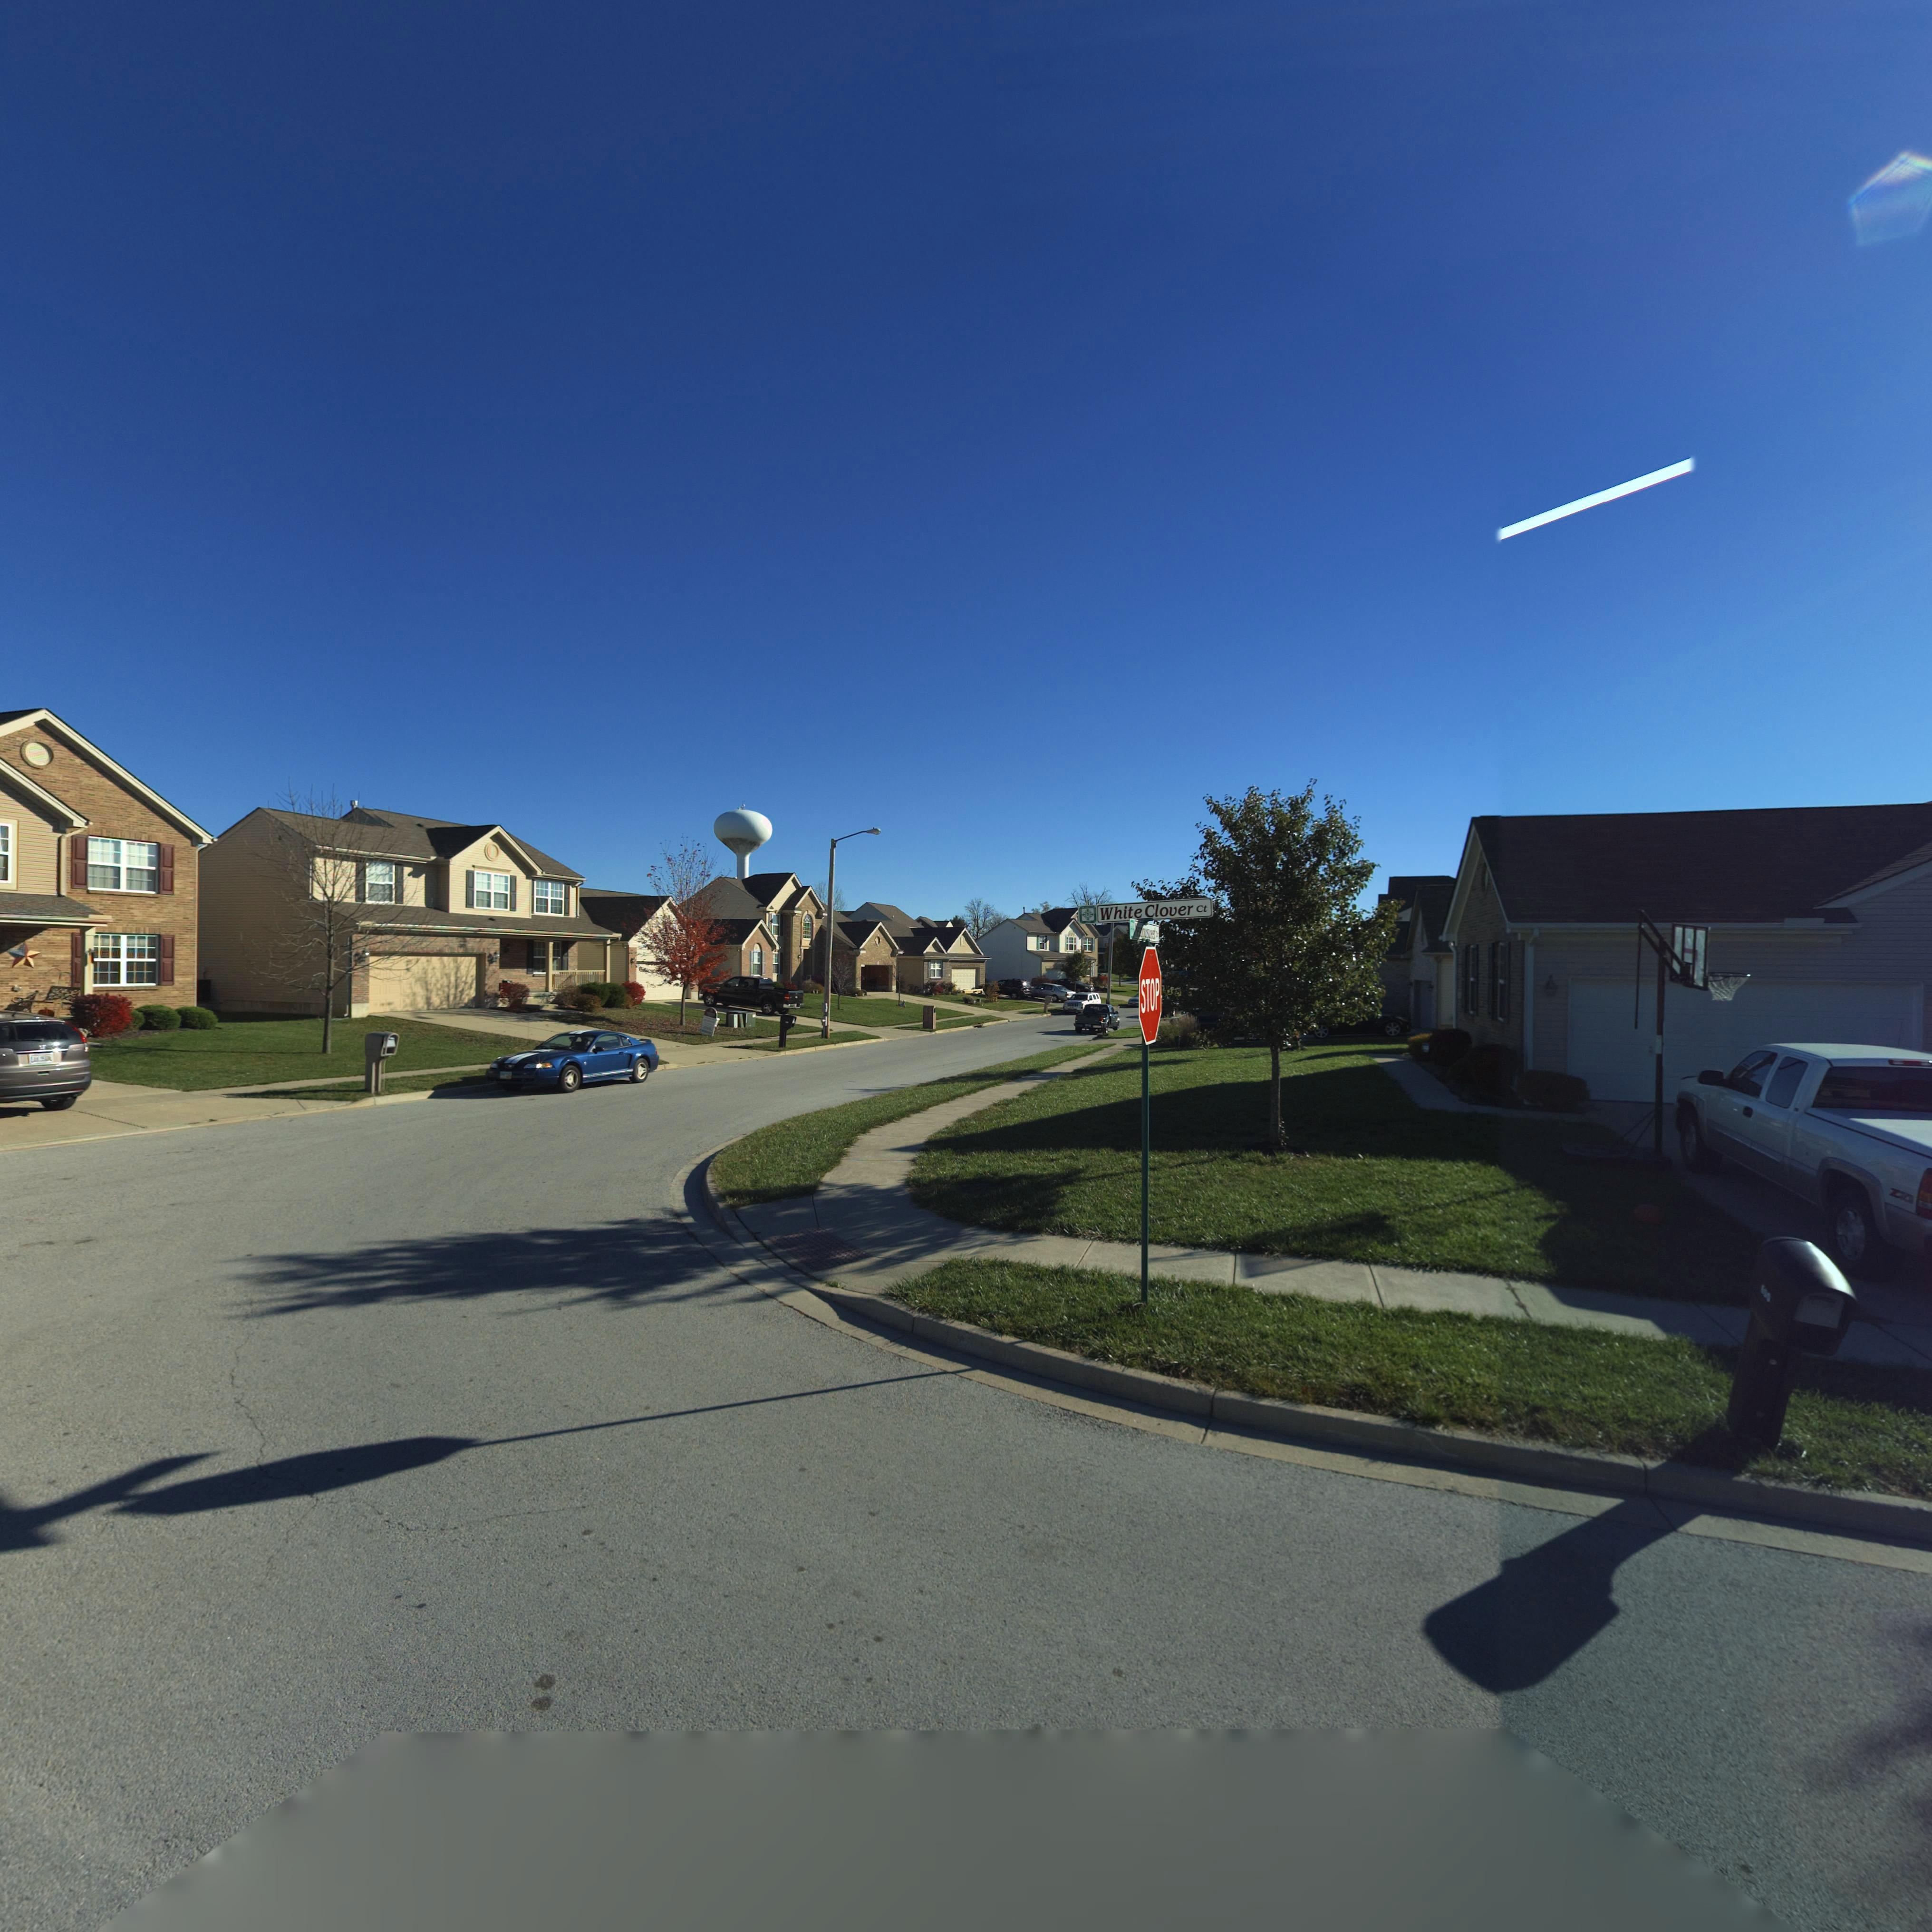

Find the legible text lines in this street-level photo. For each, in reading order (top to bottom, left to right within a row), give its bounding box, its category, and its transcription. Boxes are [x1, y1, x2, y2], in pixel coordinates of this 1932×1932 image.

[1760, 1284, 1771, 1303] StreetNumber: 600